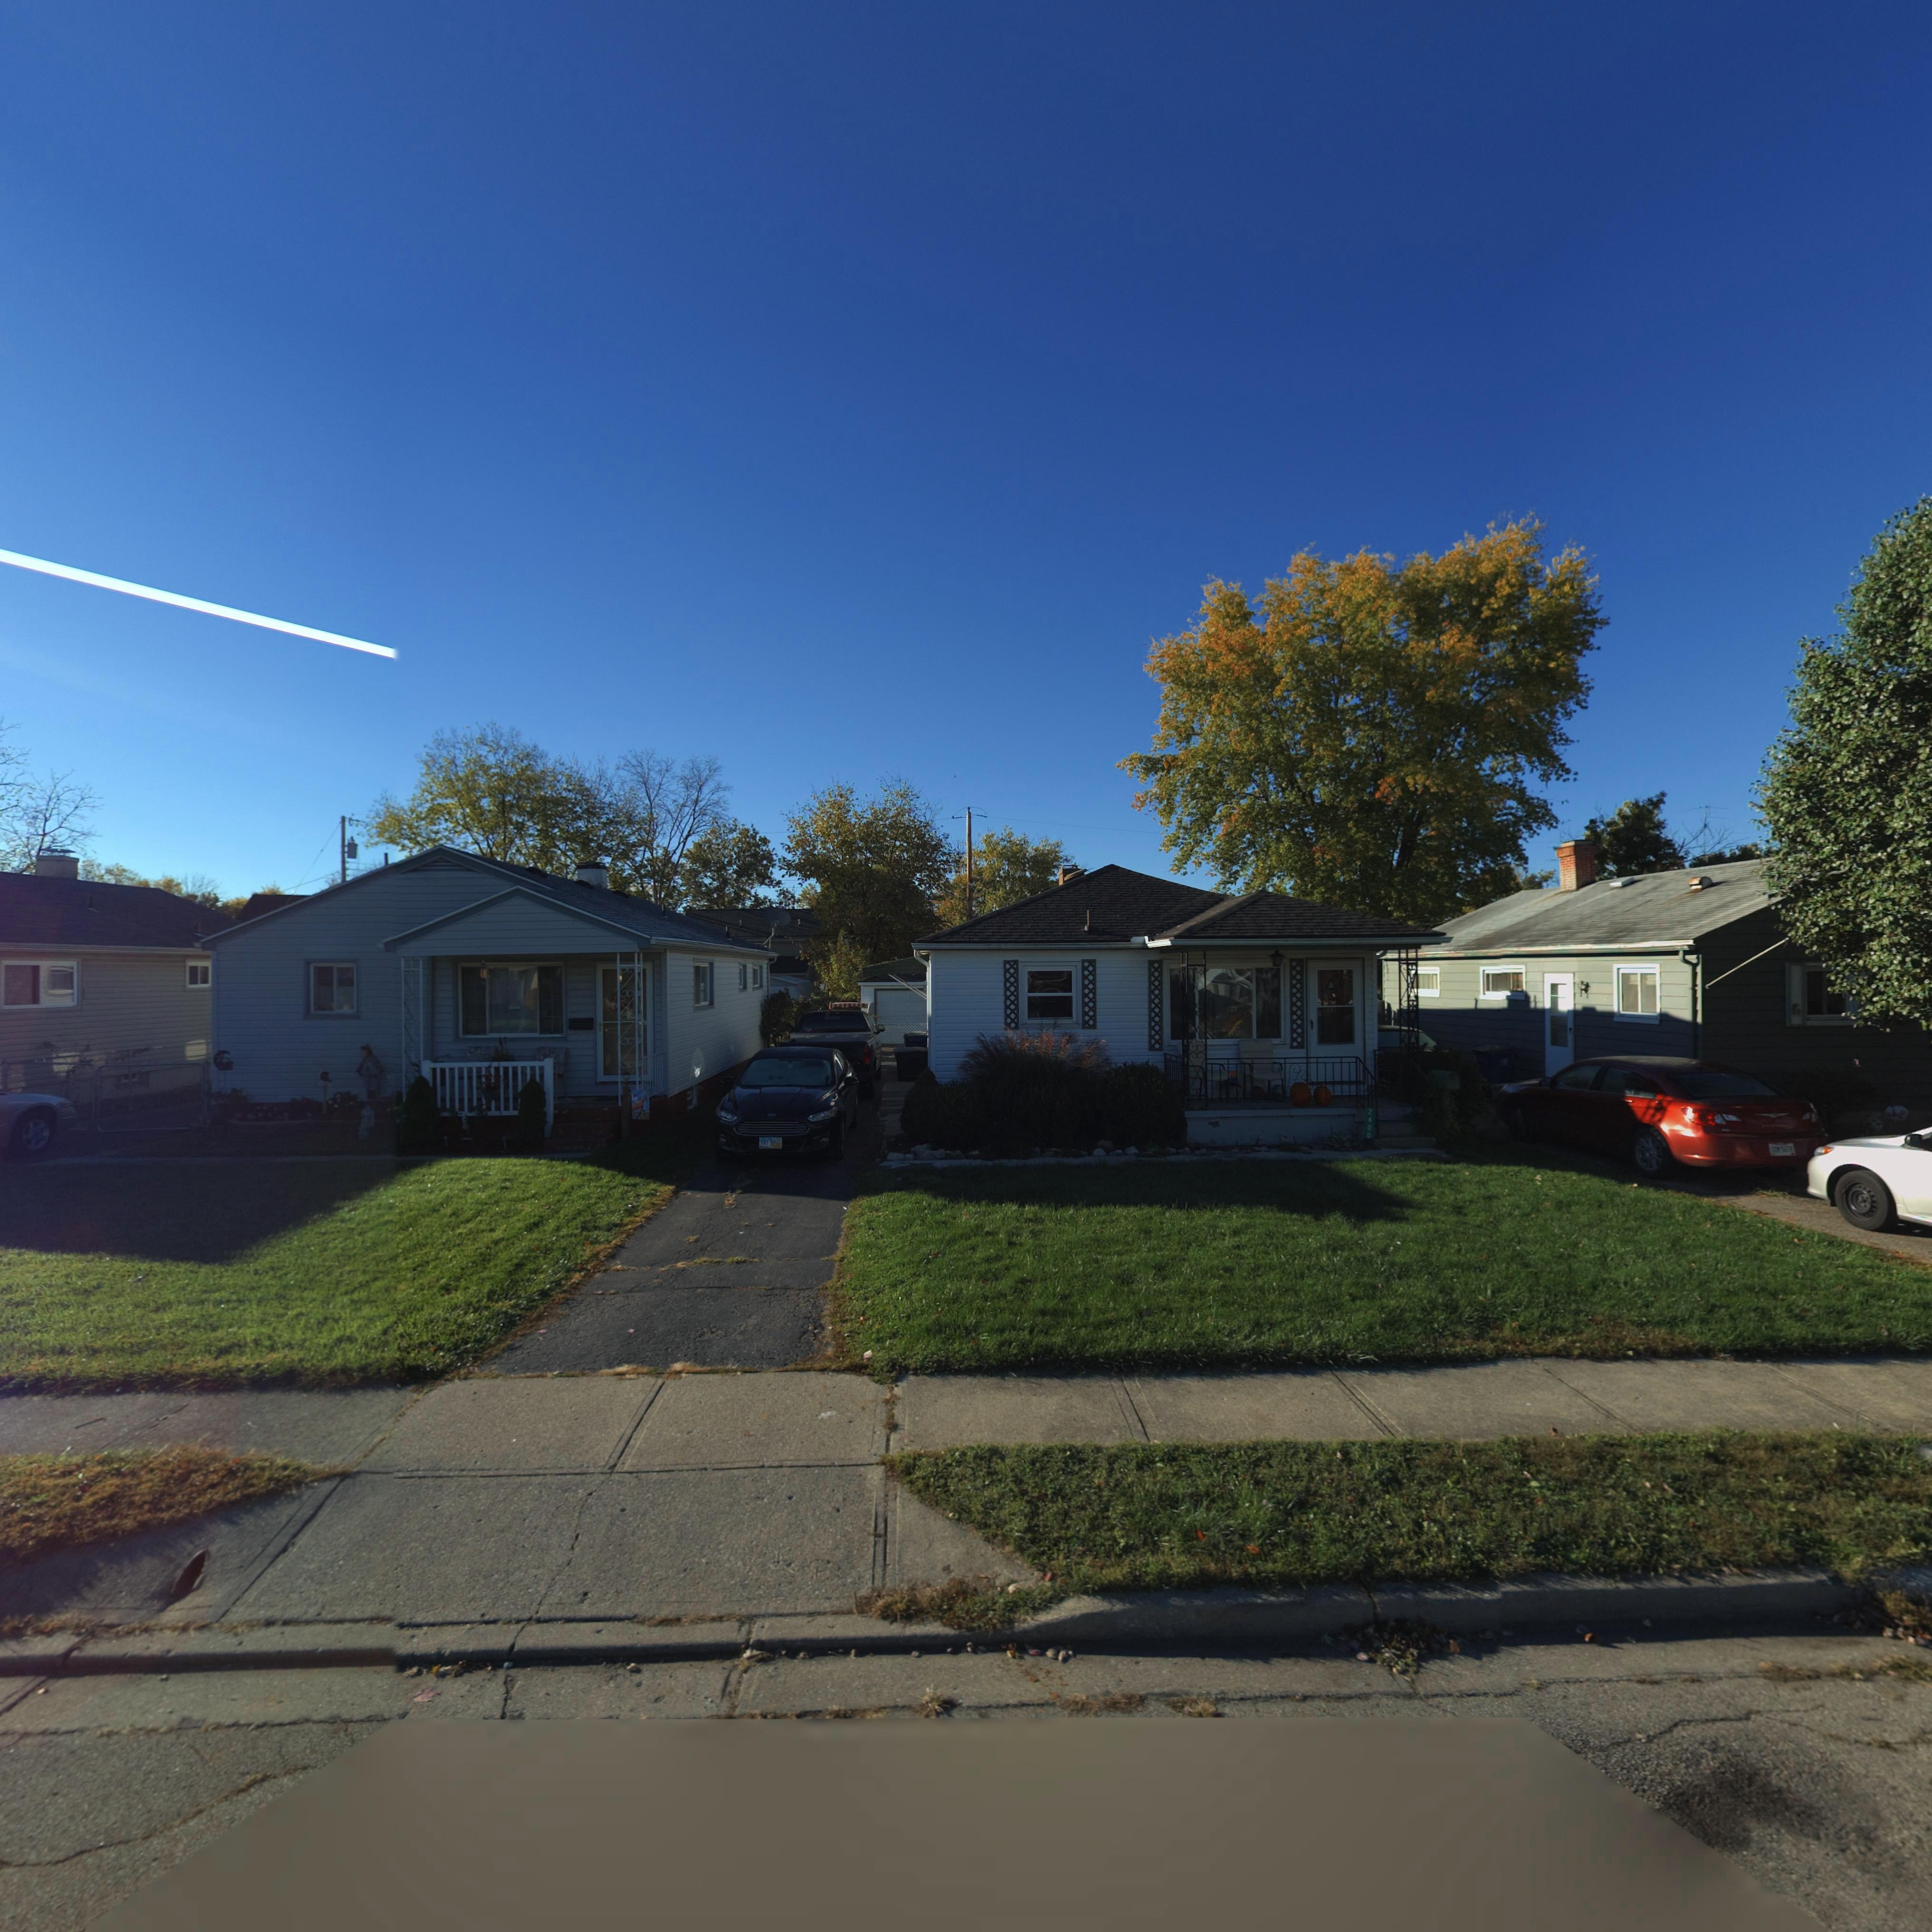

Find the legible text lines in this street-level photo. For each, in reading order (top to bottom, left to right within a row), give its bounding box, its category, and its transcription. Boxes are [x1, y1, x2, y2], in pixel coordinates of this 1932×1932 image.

[1366, 1108, 1373, 1139] StreetNumber: 2400